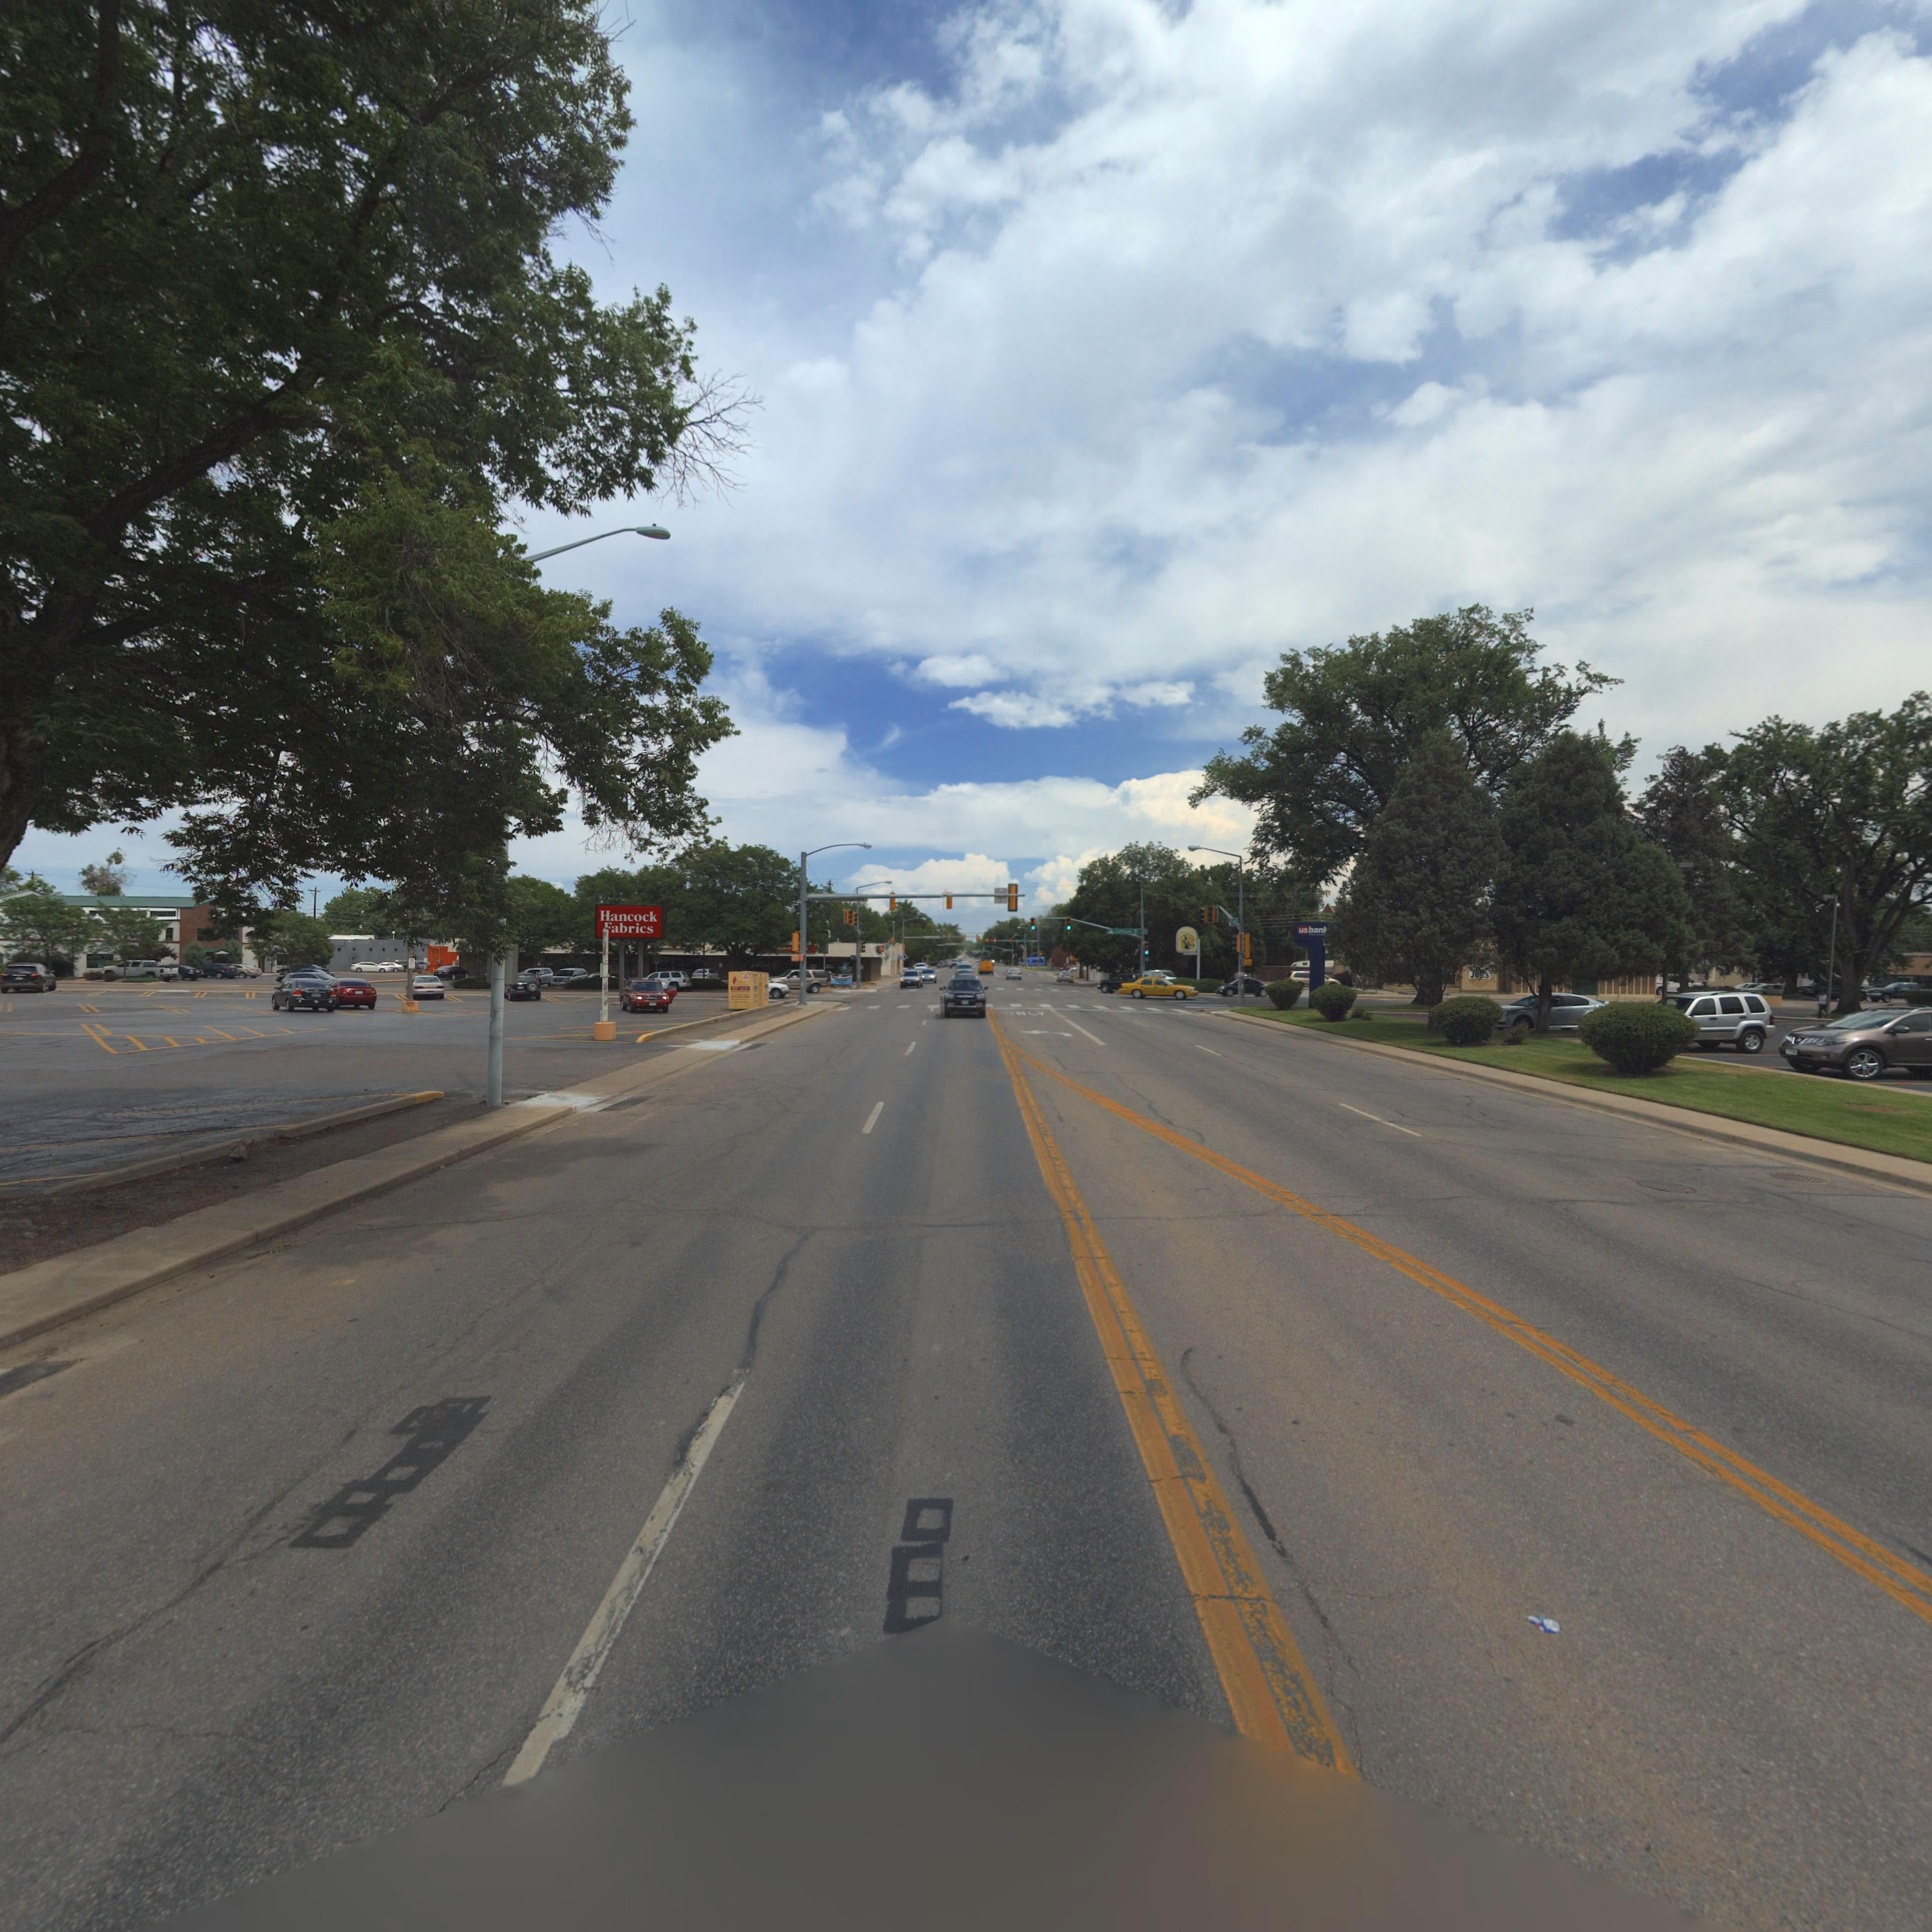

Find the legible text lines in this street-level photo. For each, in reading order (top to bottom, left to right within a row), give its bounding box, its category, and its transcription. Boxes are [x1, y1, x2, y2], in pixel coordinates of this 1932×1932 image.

[599, 910, 657, 922] BusinessName: Hancock
[604, 922, 654, 934] BusinessName: *abrics
[1114, 929, 1138, 933] StreetName: Coffman St
[1299, 926, 1328, 933] BusinessName: usban*
[1469, 971, 1489, 978] BusinessName: J*S